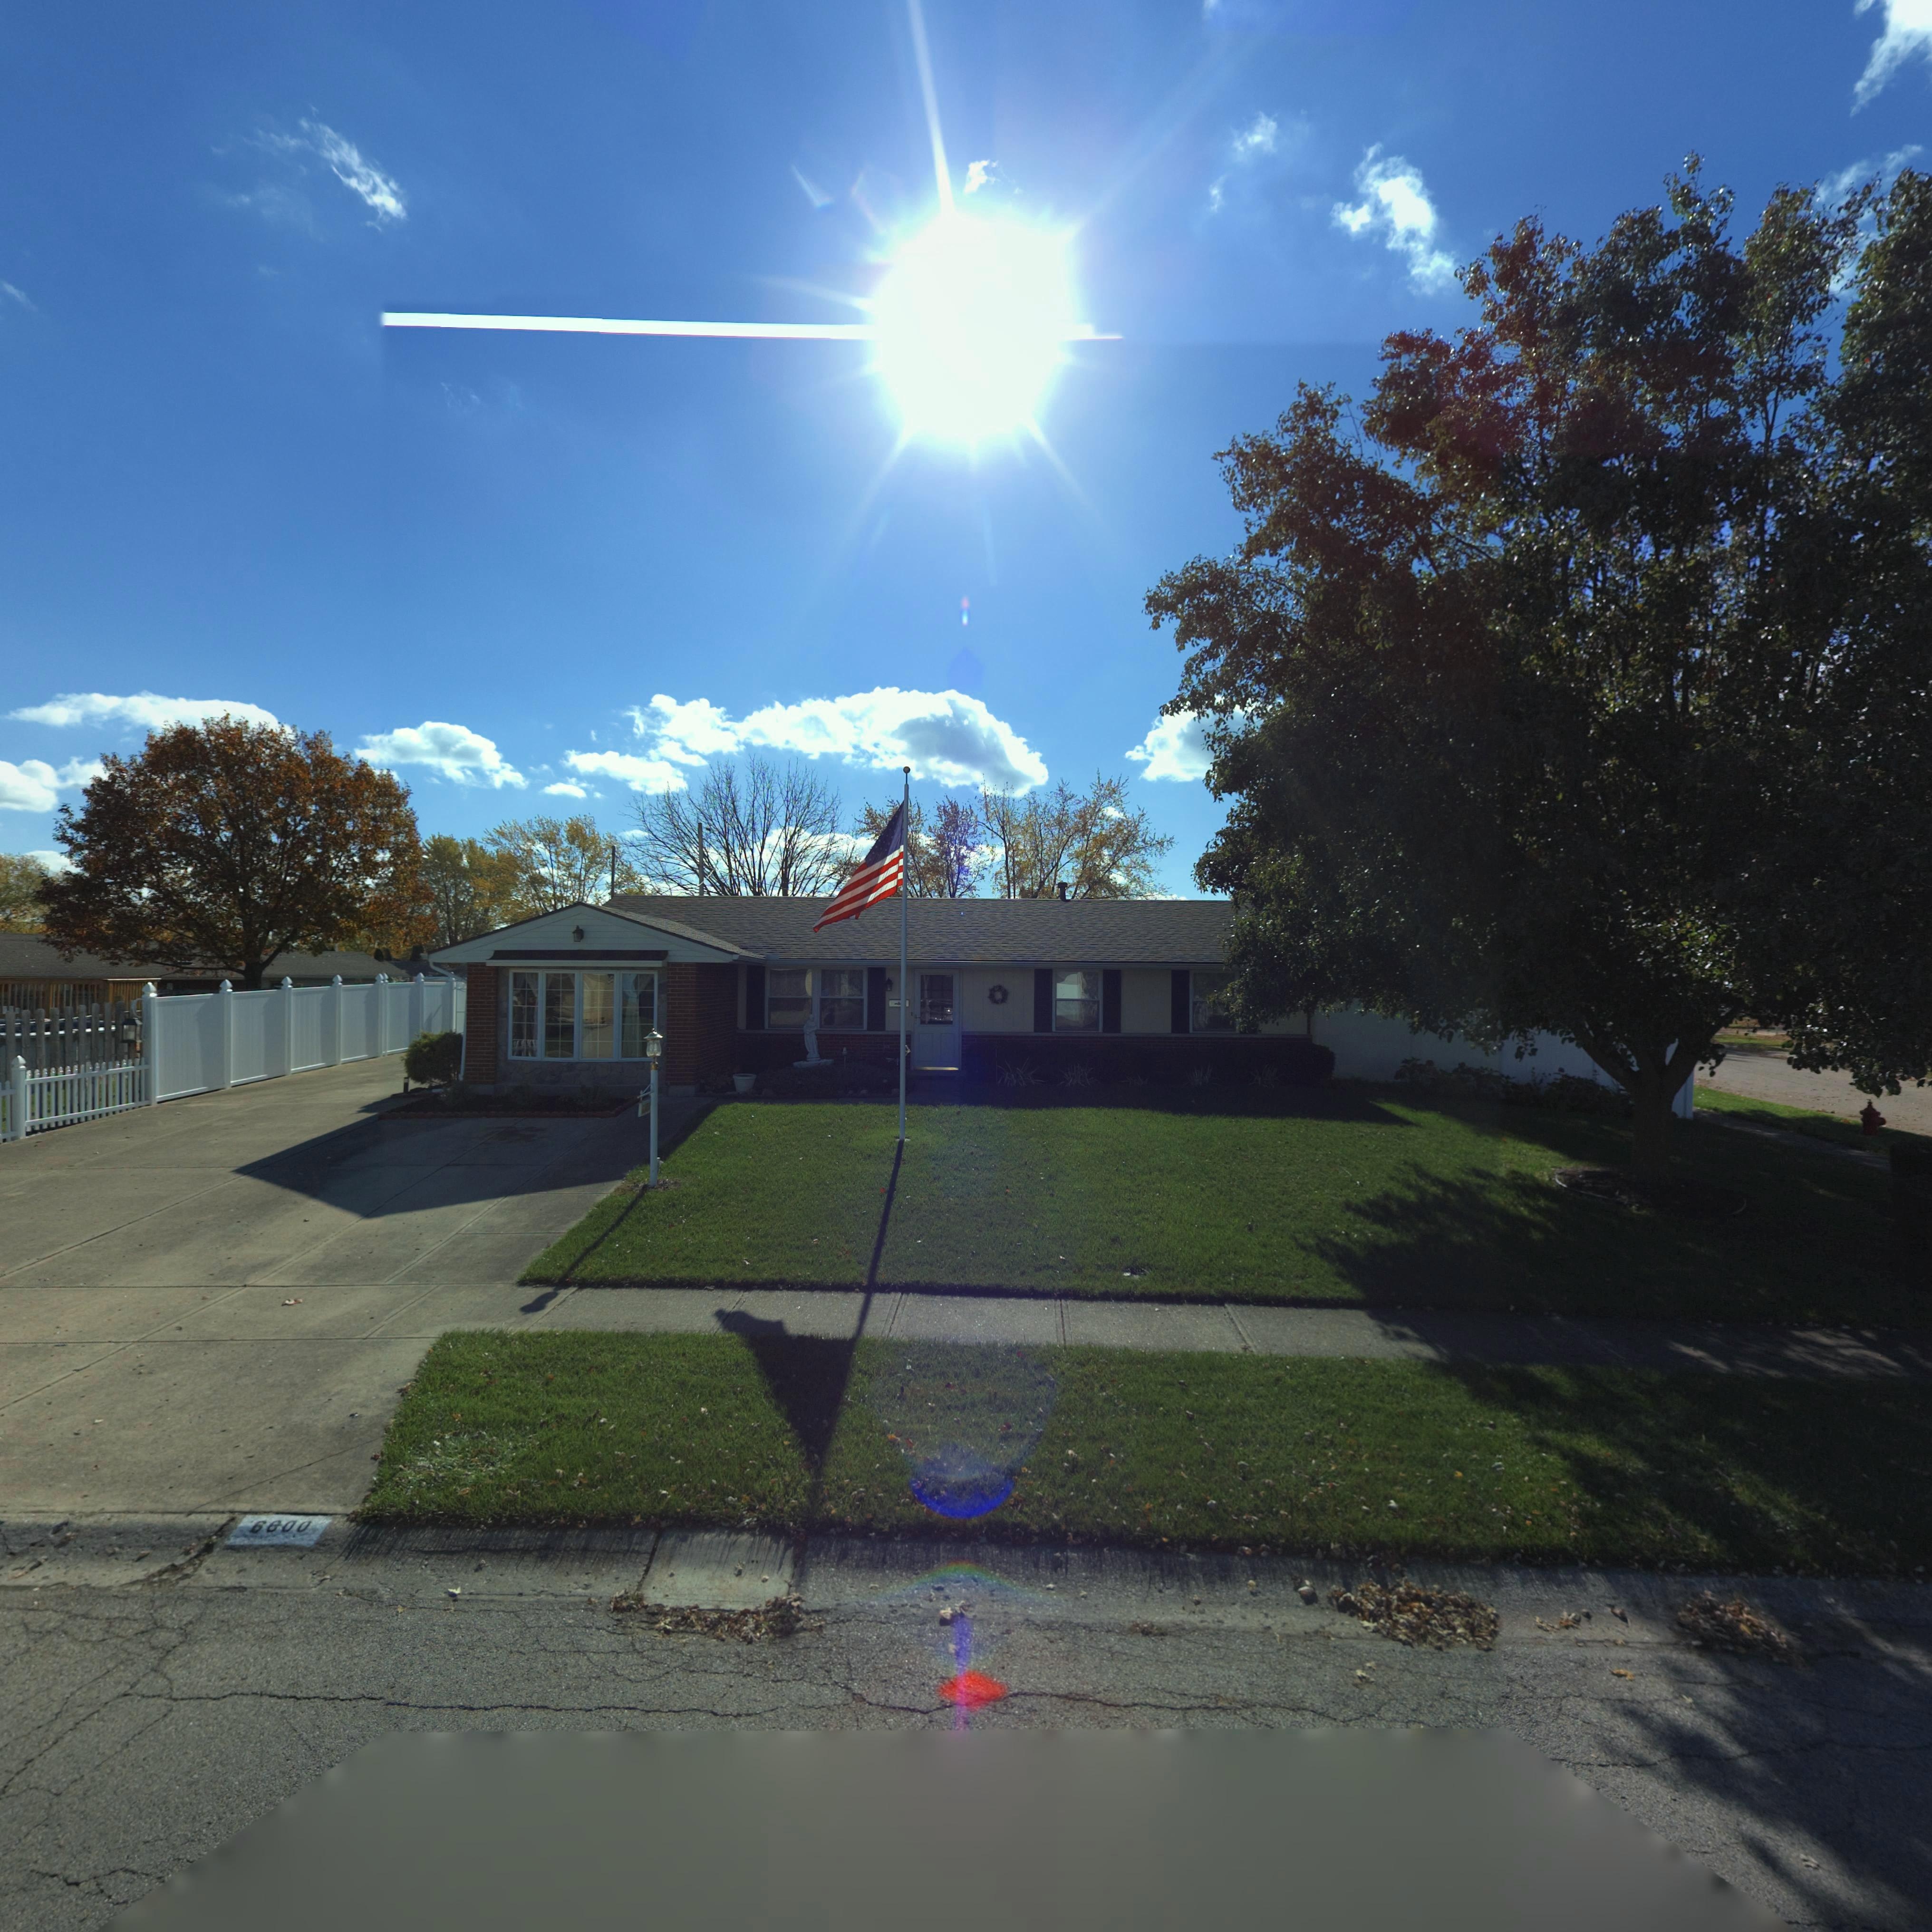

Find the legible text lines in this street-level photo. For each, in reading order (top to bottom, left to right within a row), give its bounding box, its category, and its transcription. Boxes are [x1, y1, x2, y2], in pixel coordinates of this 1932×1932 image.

[247, 1519, 312, 1535] StreetNumber: 6600